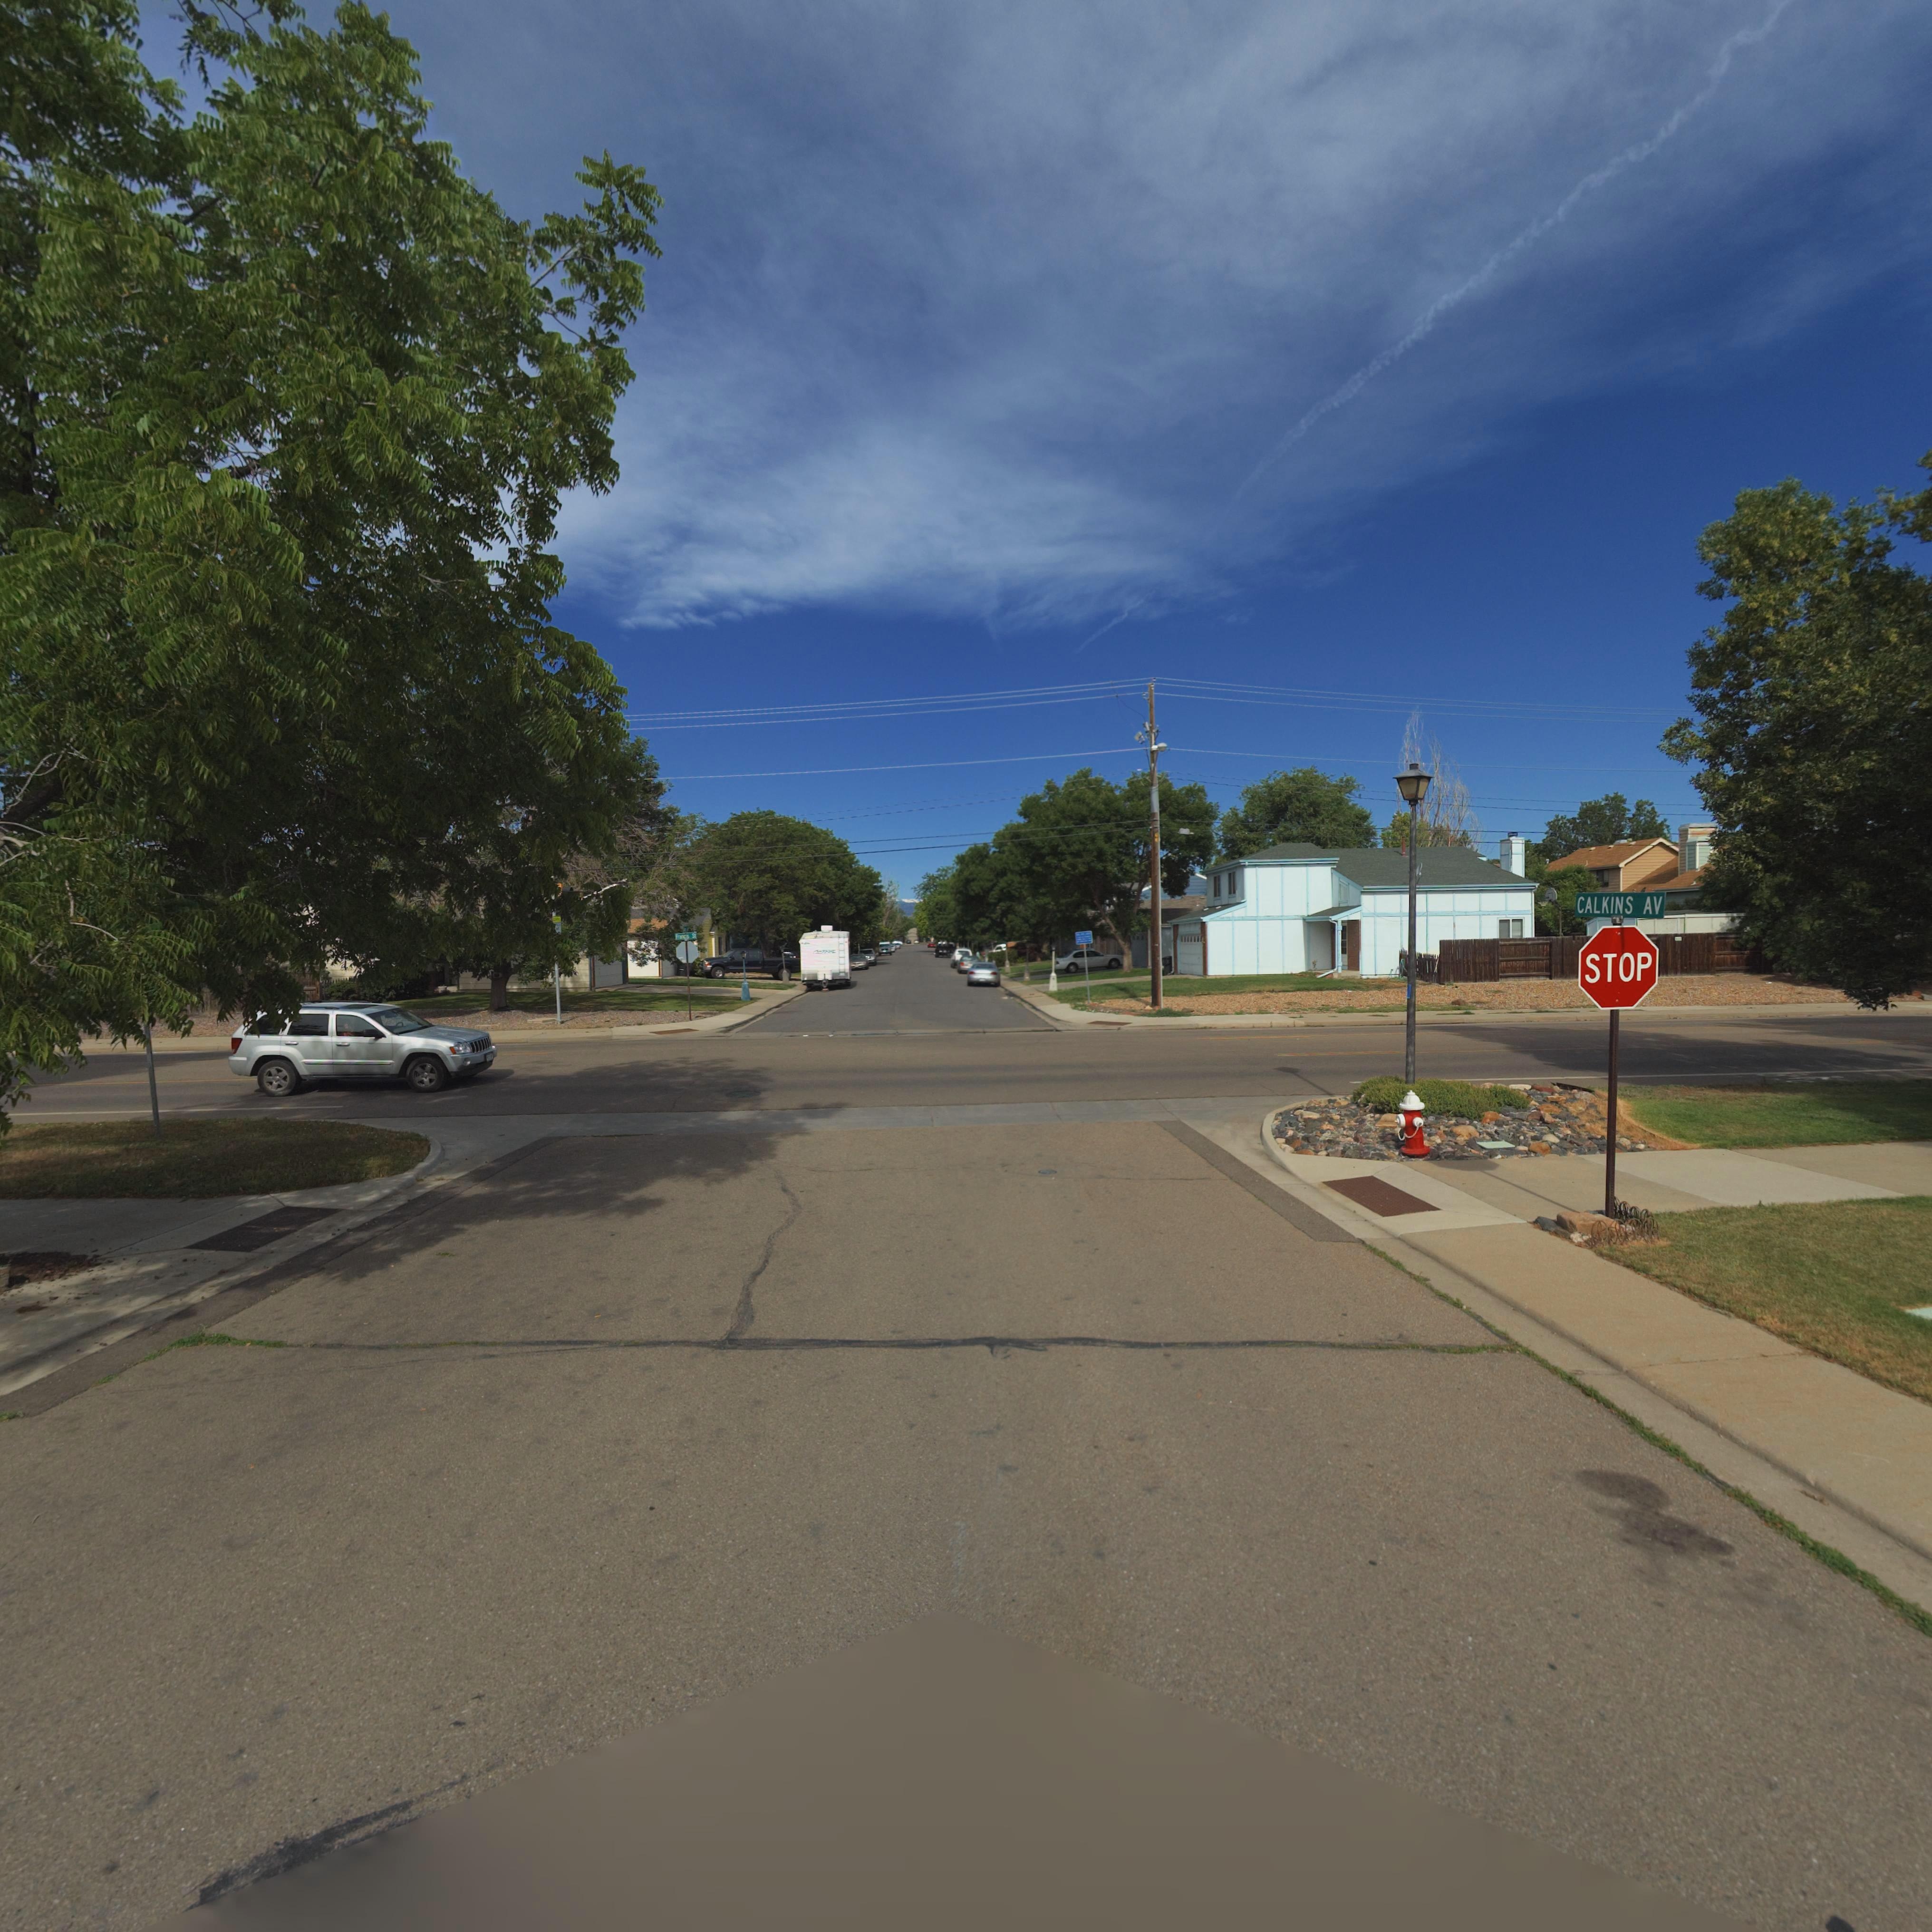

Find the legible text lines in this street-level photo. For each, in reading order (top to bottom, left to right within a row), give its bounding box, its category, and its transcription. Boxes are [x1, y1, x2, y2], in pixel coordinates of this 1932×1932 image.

[1577, 895, 1663, 915] StreetName: CALKINS AV
[675, 933, 696, 939] StreetName: Francis St